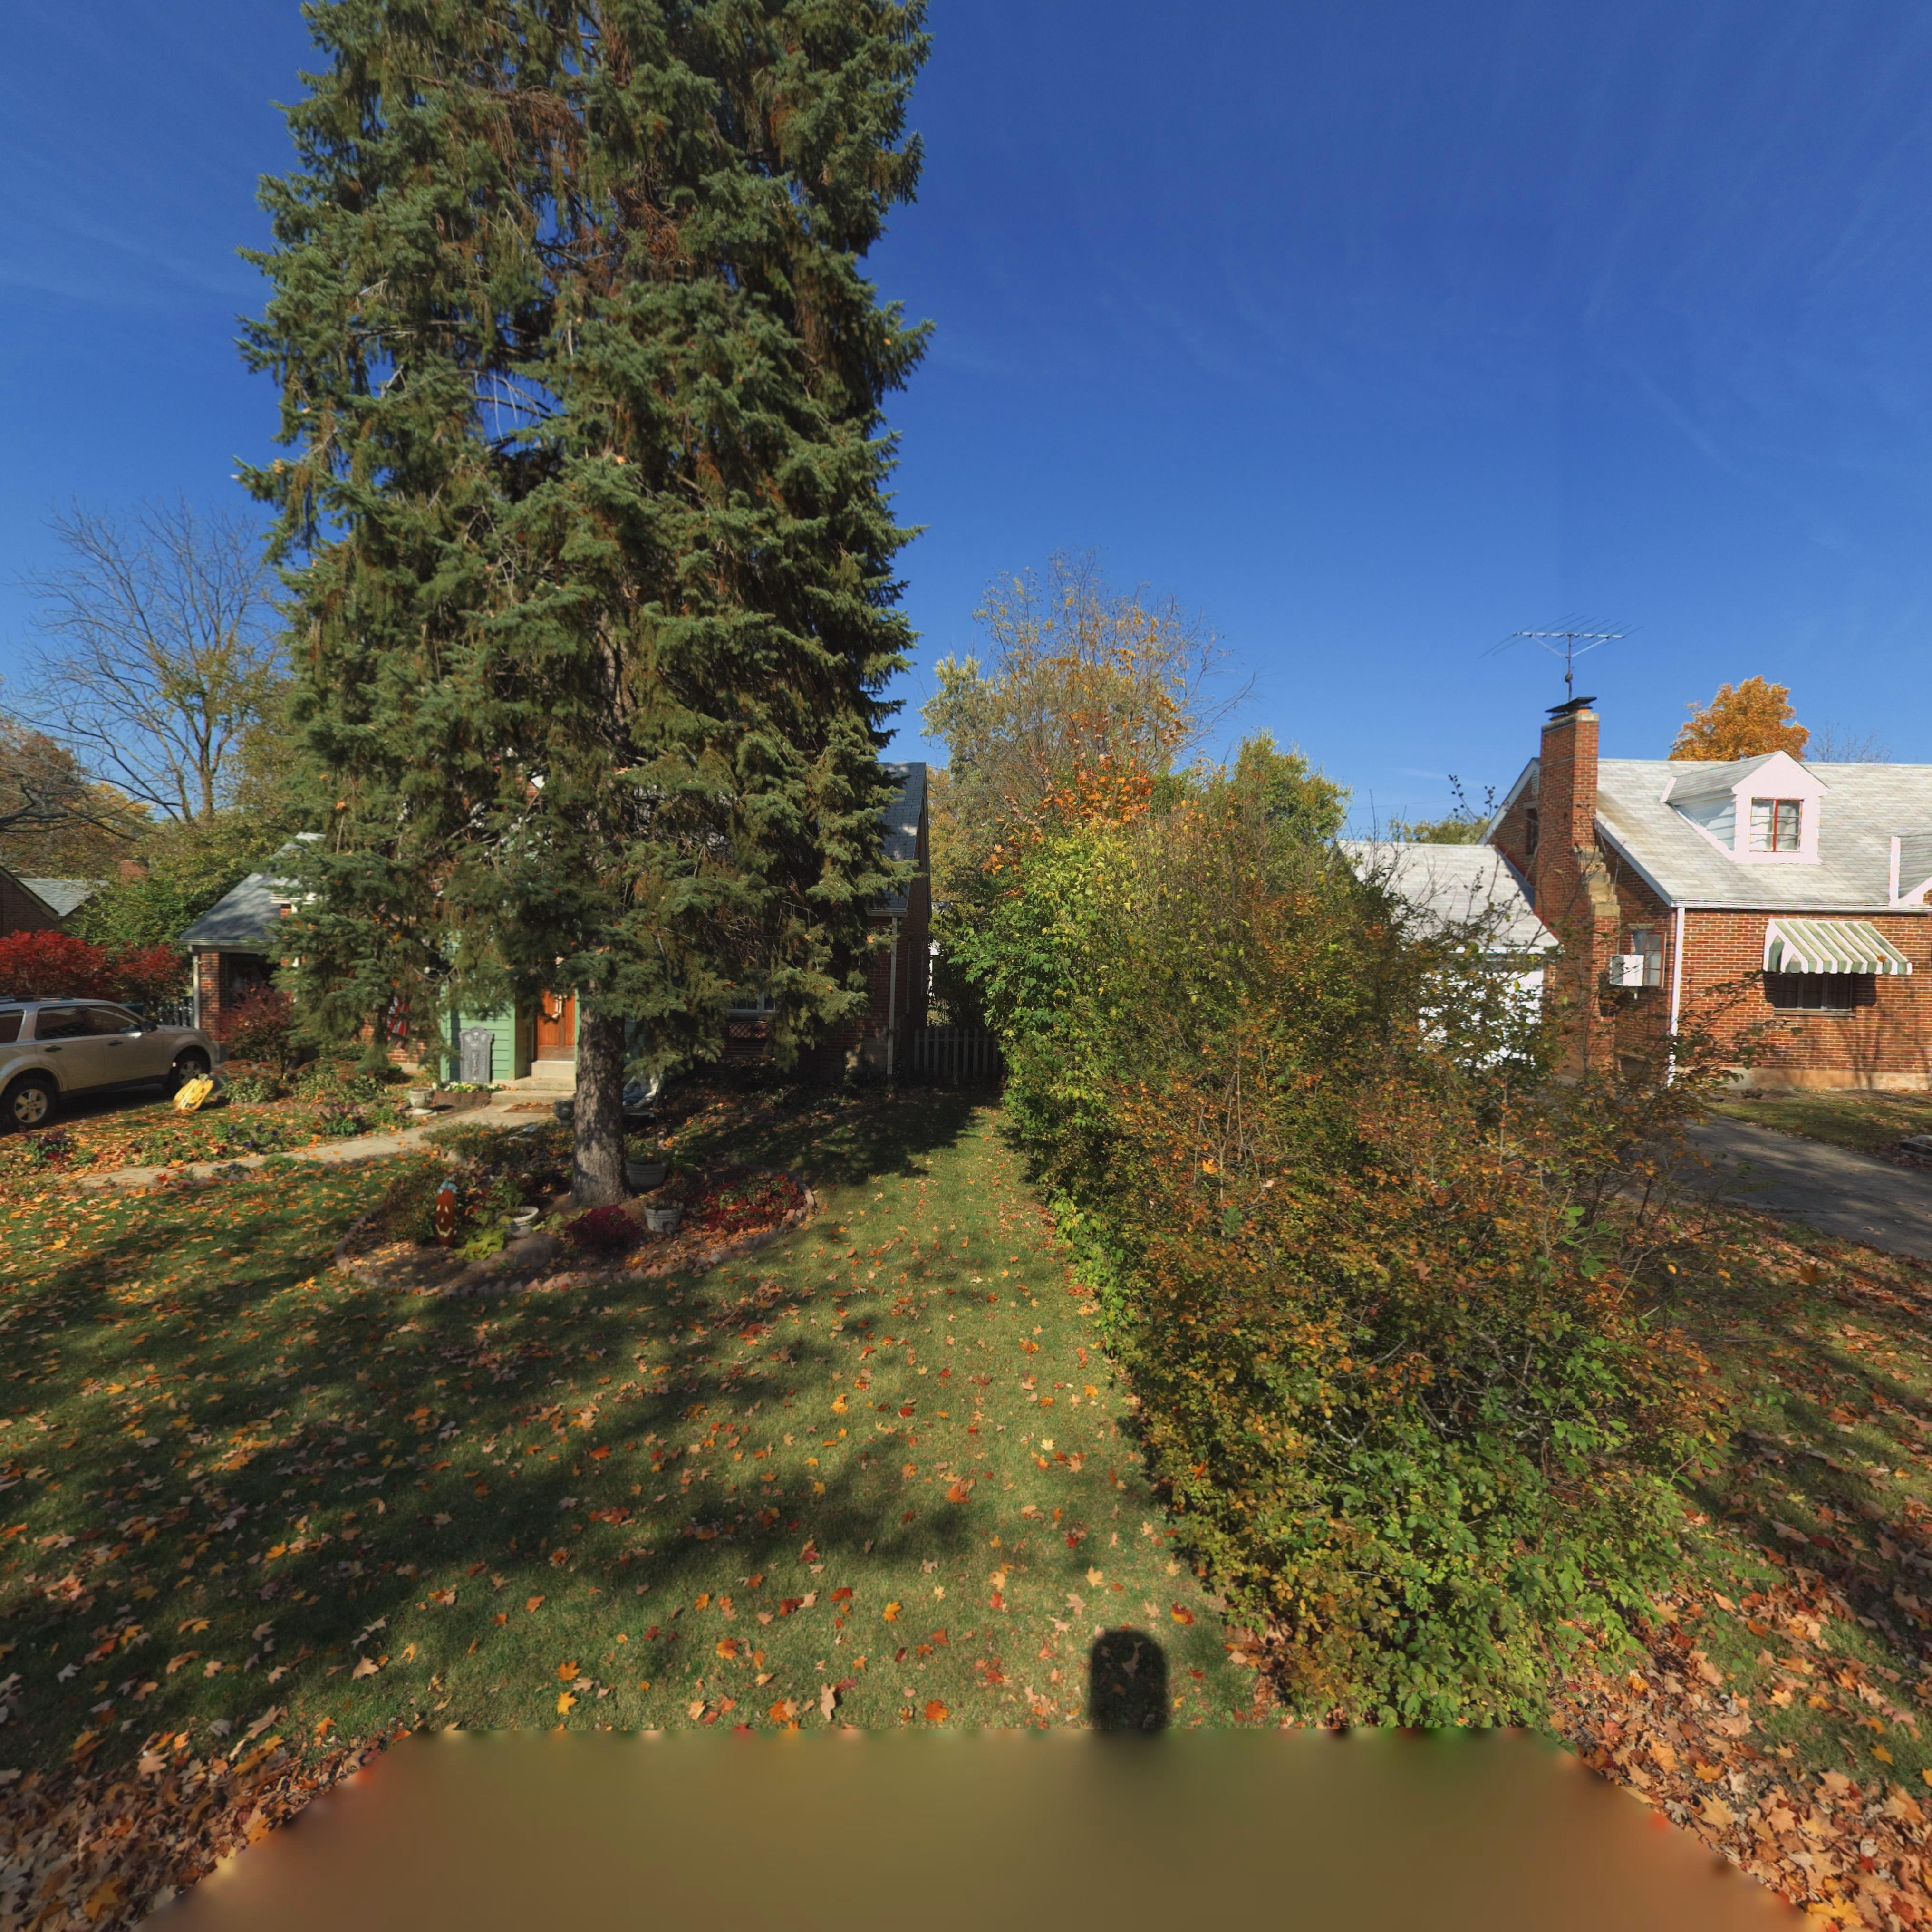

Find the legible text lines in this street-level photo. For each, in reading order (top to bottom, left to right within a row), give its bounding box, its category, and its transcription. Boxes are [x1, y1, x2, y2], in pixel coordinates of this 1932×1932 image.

[472, 1052, 478, 1075] None: RIP